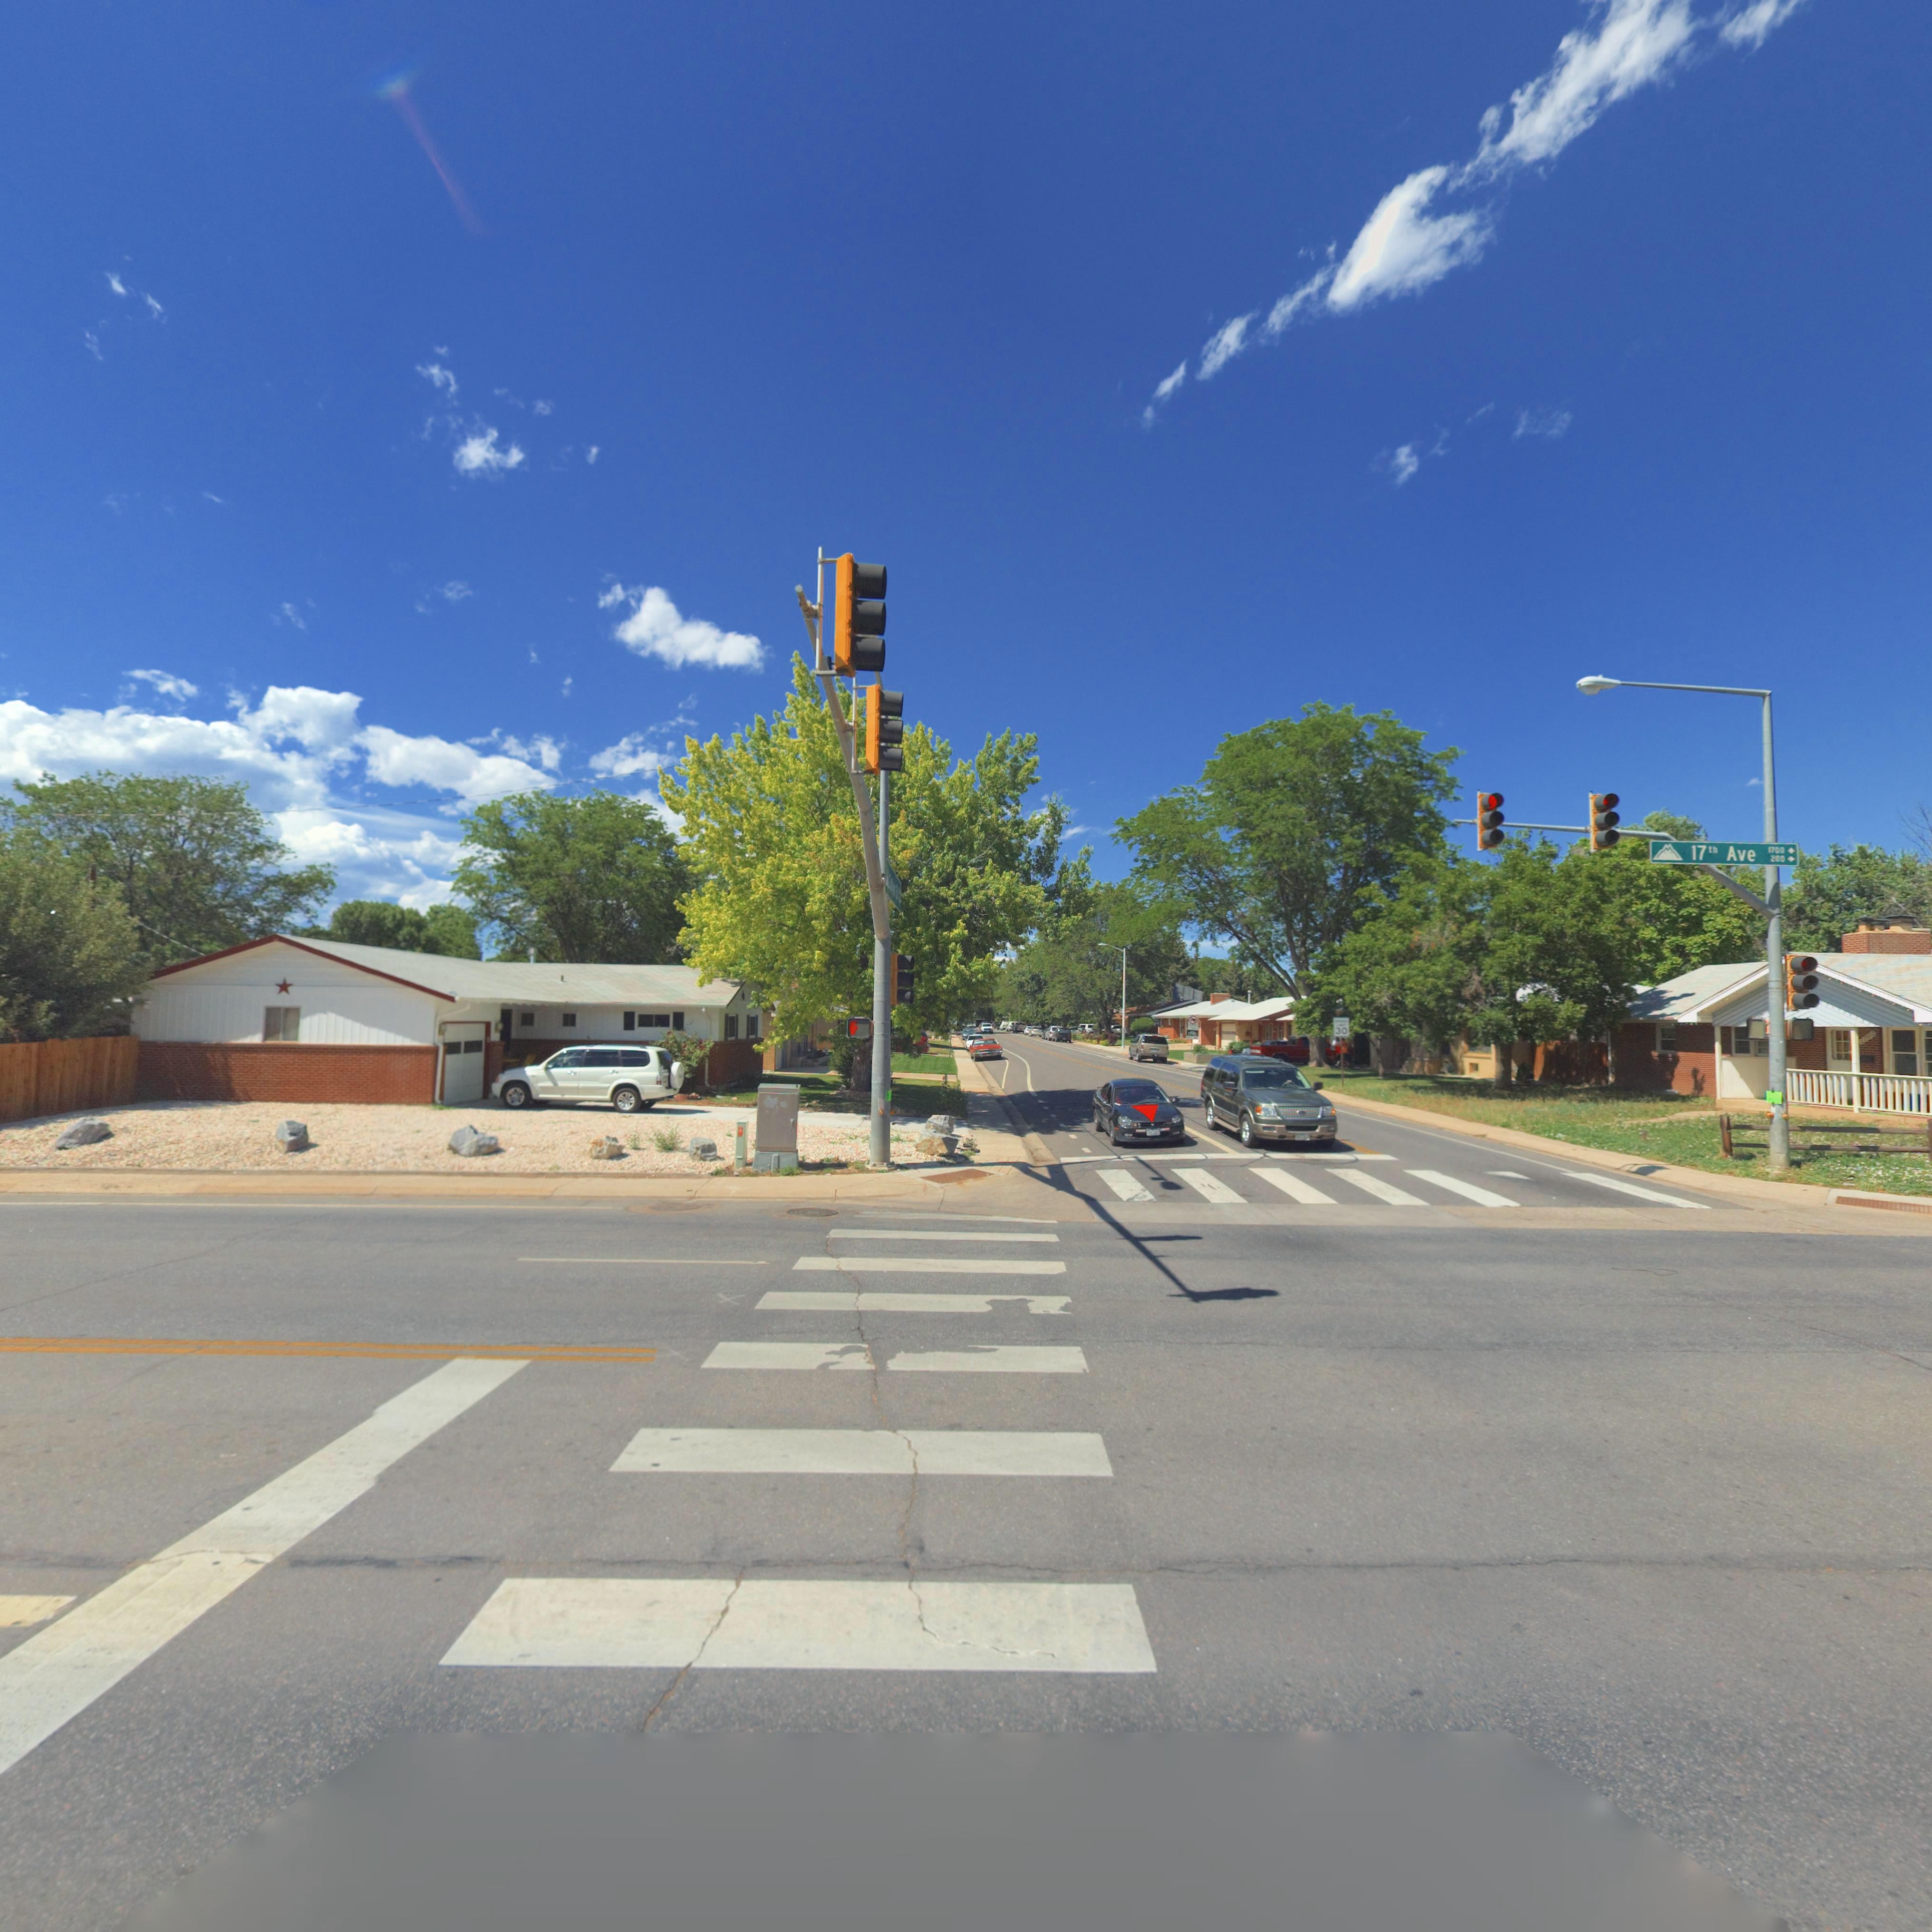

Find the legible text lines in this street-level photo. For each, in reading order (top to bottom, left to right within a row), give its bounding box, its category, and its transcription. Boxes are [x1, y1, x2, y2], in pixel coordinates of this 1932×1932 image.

[1691, 845, 1756, 862] StreetName: 17th Ave
[1768, 847, 1785, 853] StreetNumberRange: 1700
[1770, 855, 1795, 862] StreetNumberRange: 200->